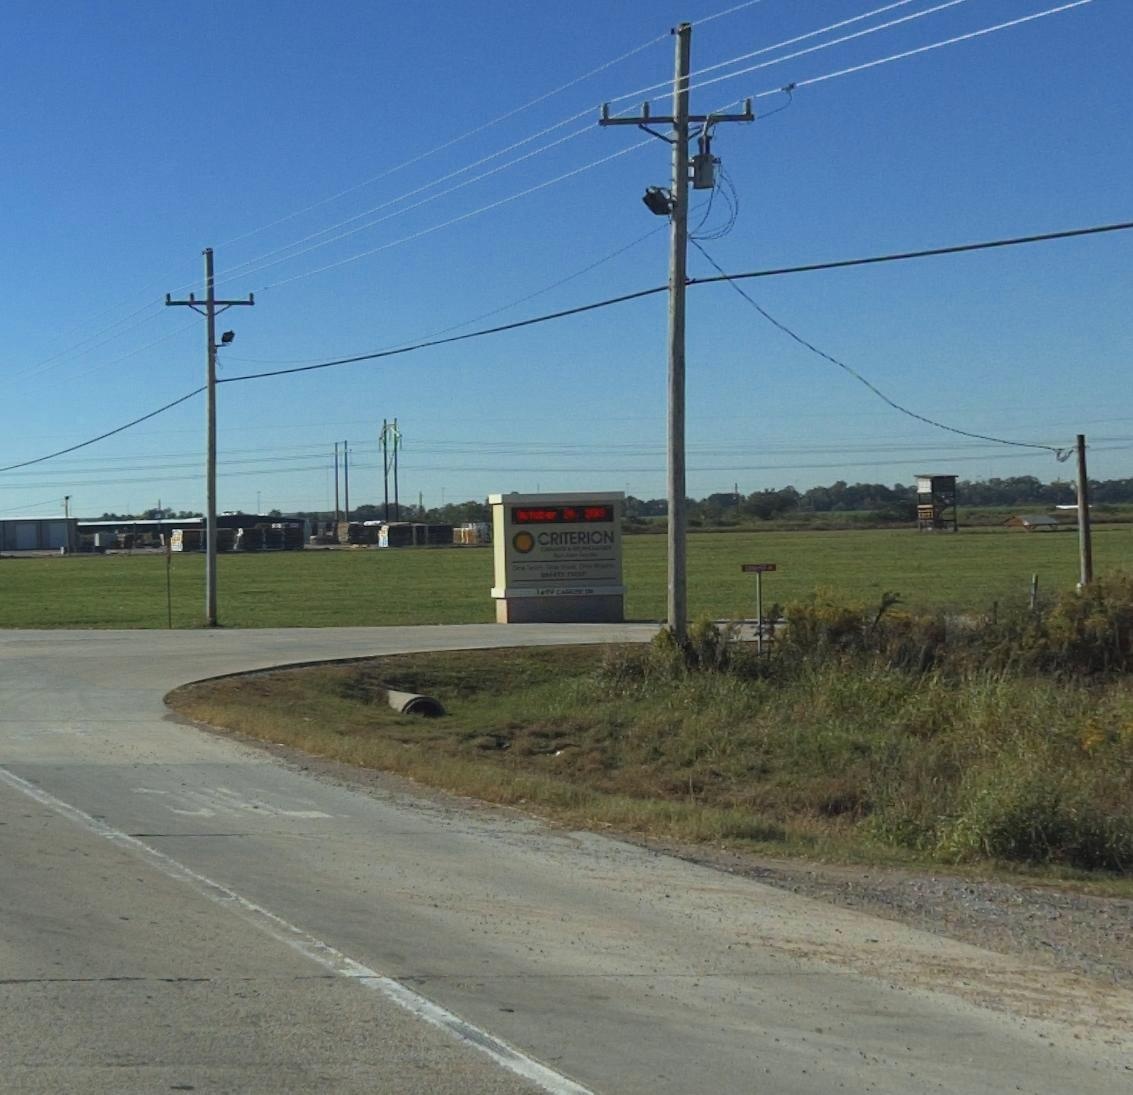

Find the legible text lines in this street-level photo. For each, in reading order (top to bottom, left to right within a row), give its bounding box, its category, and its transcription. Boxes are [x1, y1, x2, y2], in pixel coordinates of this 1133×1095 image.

[562, 508, 570, 520] None: 2
[536, 530, 615, 546] BusinessName: CRITERION